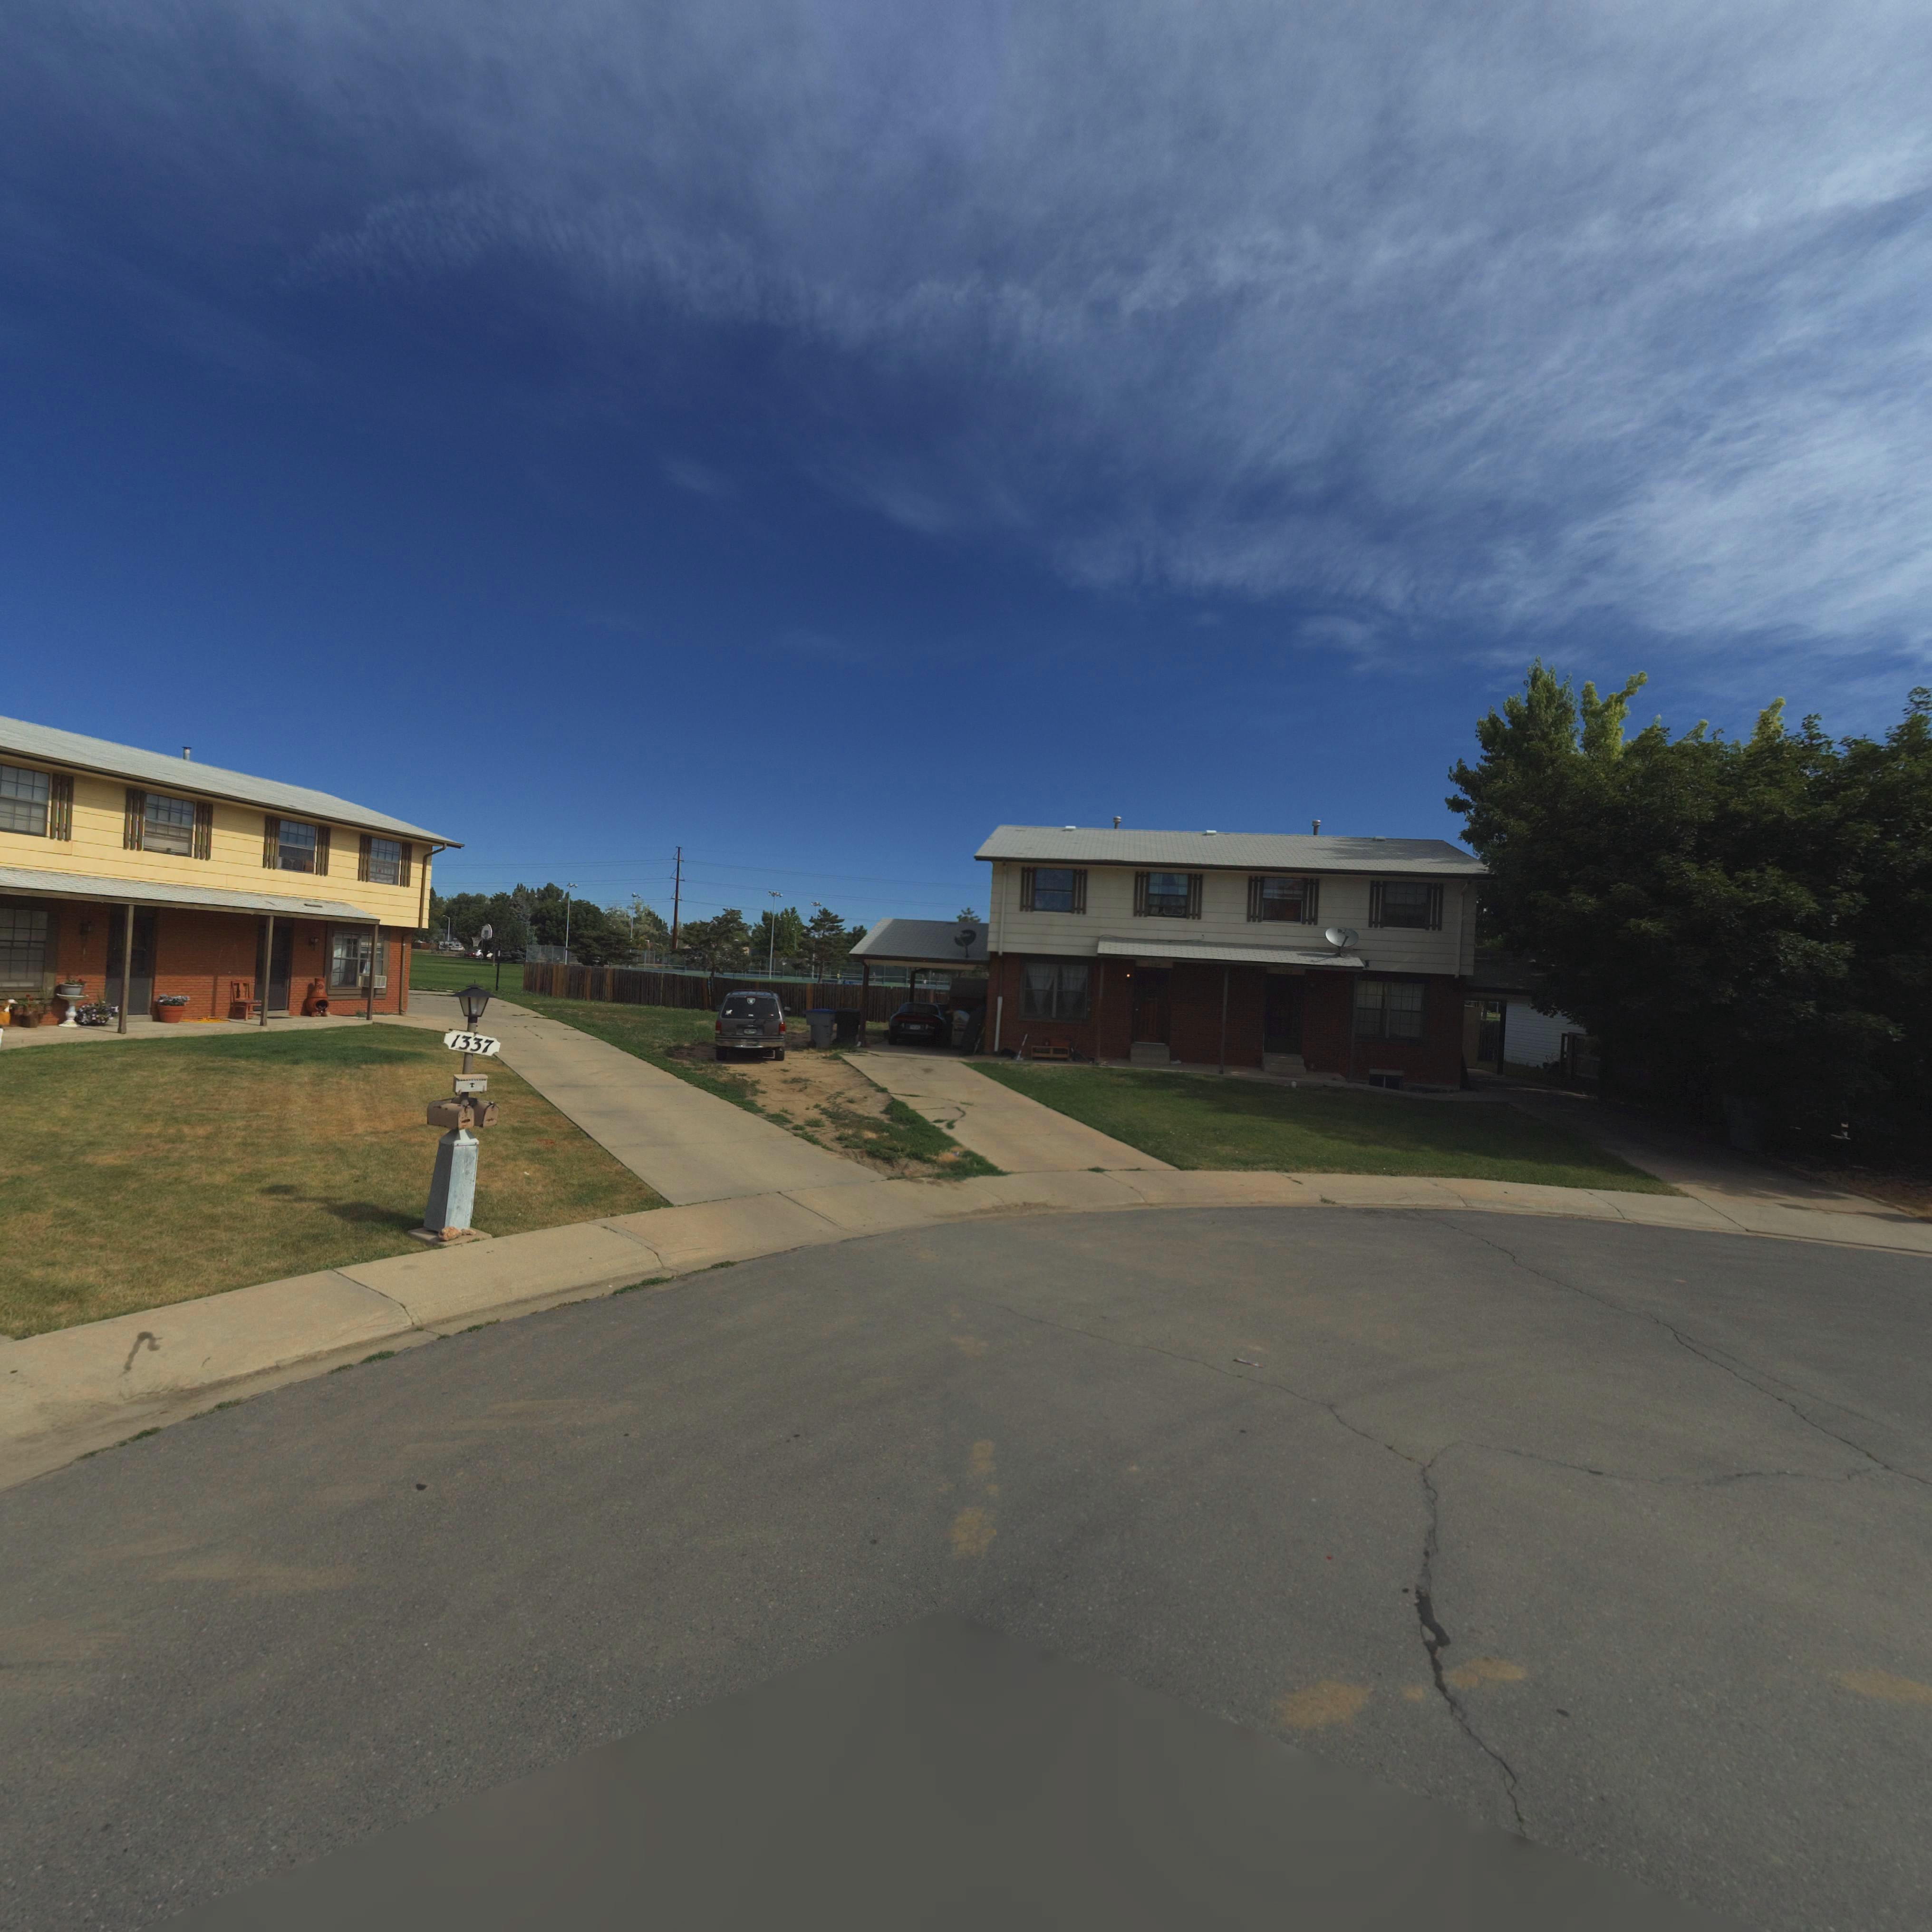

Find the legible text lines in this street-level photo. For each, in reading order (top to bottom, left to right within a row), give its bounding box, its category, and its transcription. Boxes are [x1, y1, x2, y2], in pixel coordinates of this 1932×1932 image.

[1148, 962, 1160, 967] StreetNumber: 136*
[1278, 968, 1293, 974] StreetNumber: 136*
[450, 1034, 494, 1053] StreetNumber: 1337